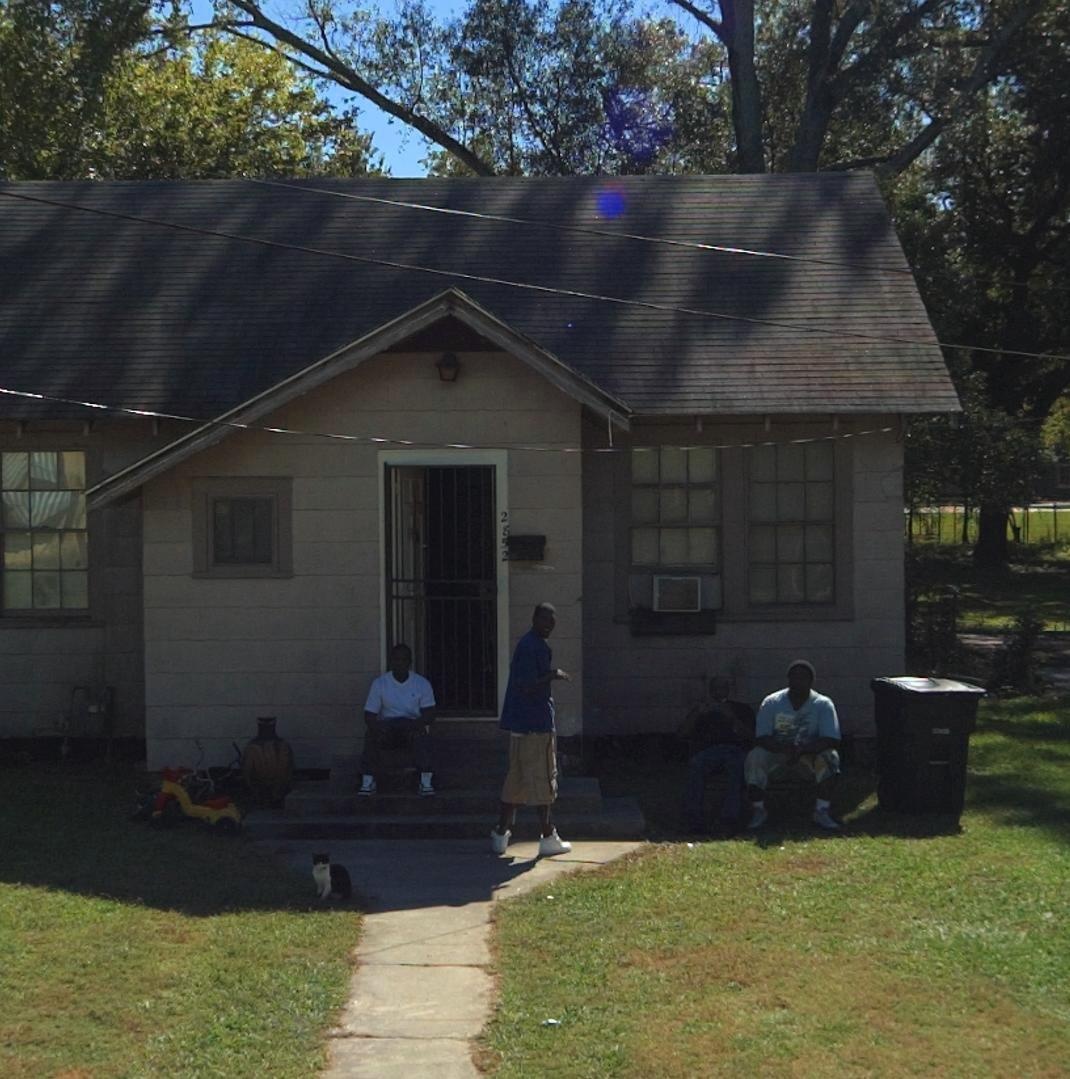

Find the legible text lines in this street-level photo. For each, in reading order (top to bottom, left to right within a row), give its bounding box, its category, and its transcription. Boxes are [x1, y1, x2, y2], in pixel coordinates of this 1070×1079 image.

[500, 511, 510, 563] StreetNumber: 2852